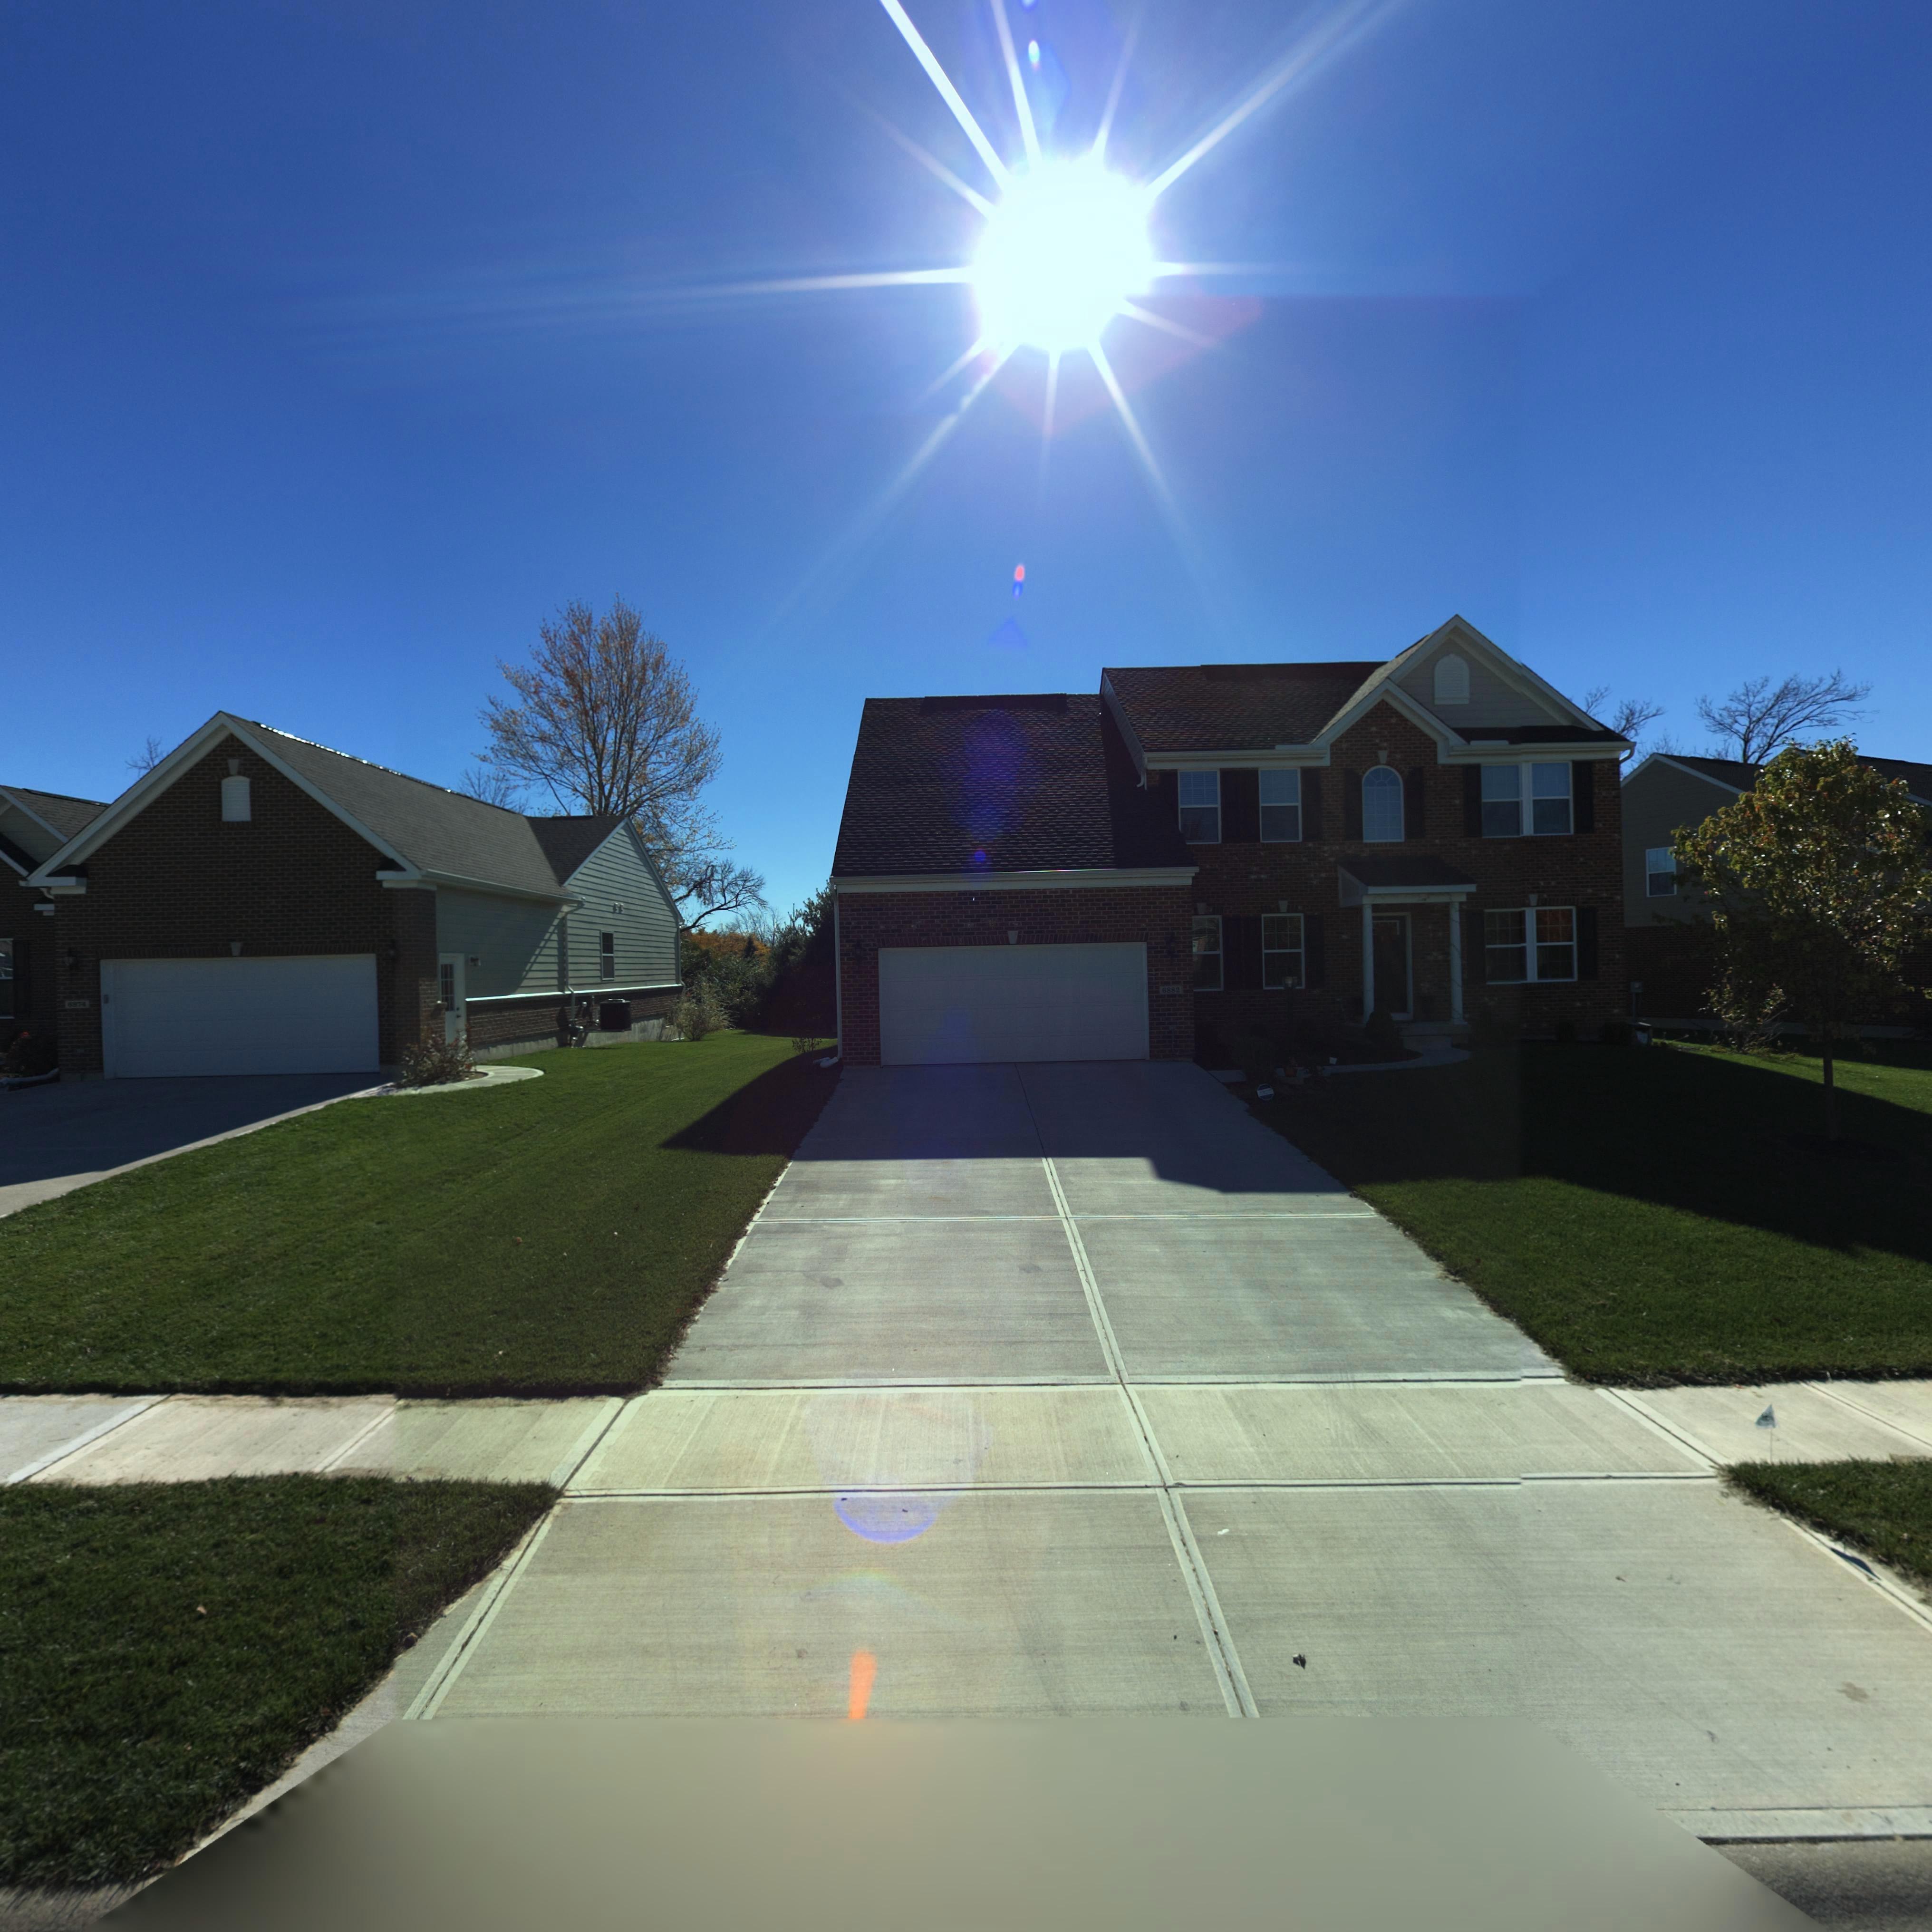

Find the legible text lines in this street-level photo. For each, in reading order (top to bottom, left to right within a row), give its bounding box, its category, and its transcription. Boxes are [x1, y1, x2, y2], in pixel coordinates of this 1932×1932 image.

[1161, 986, 1180, 994] StreetNumber: 6882
[67, 1001, 87, 1007] StreetNumber: 6*74